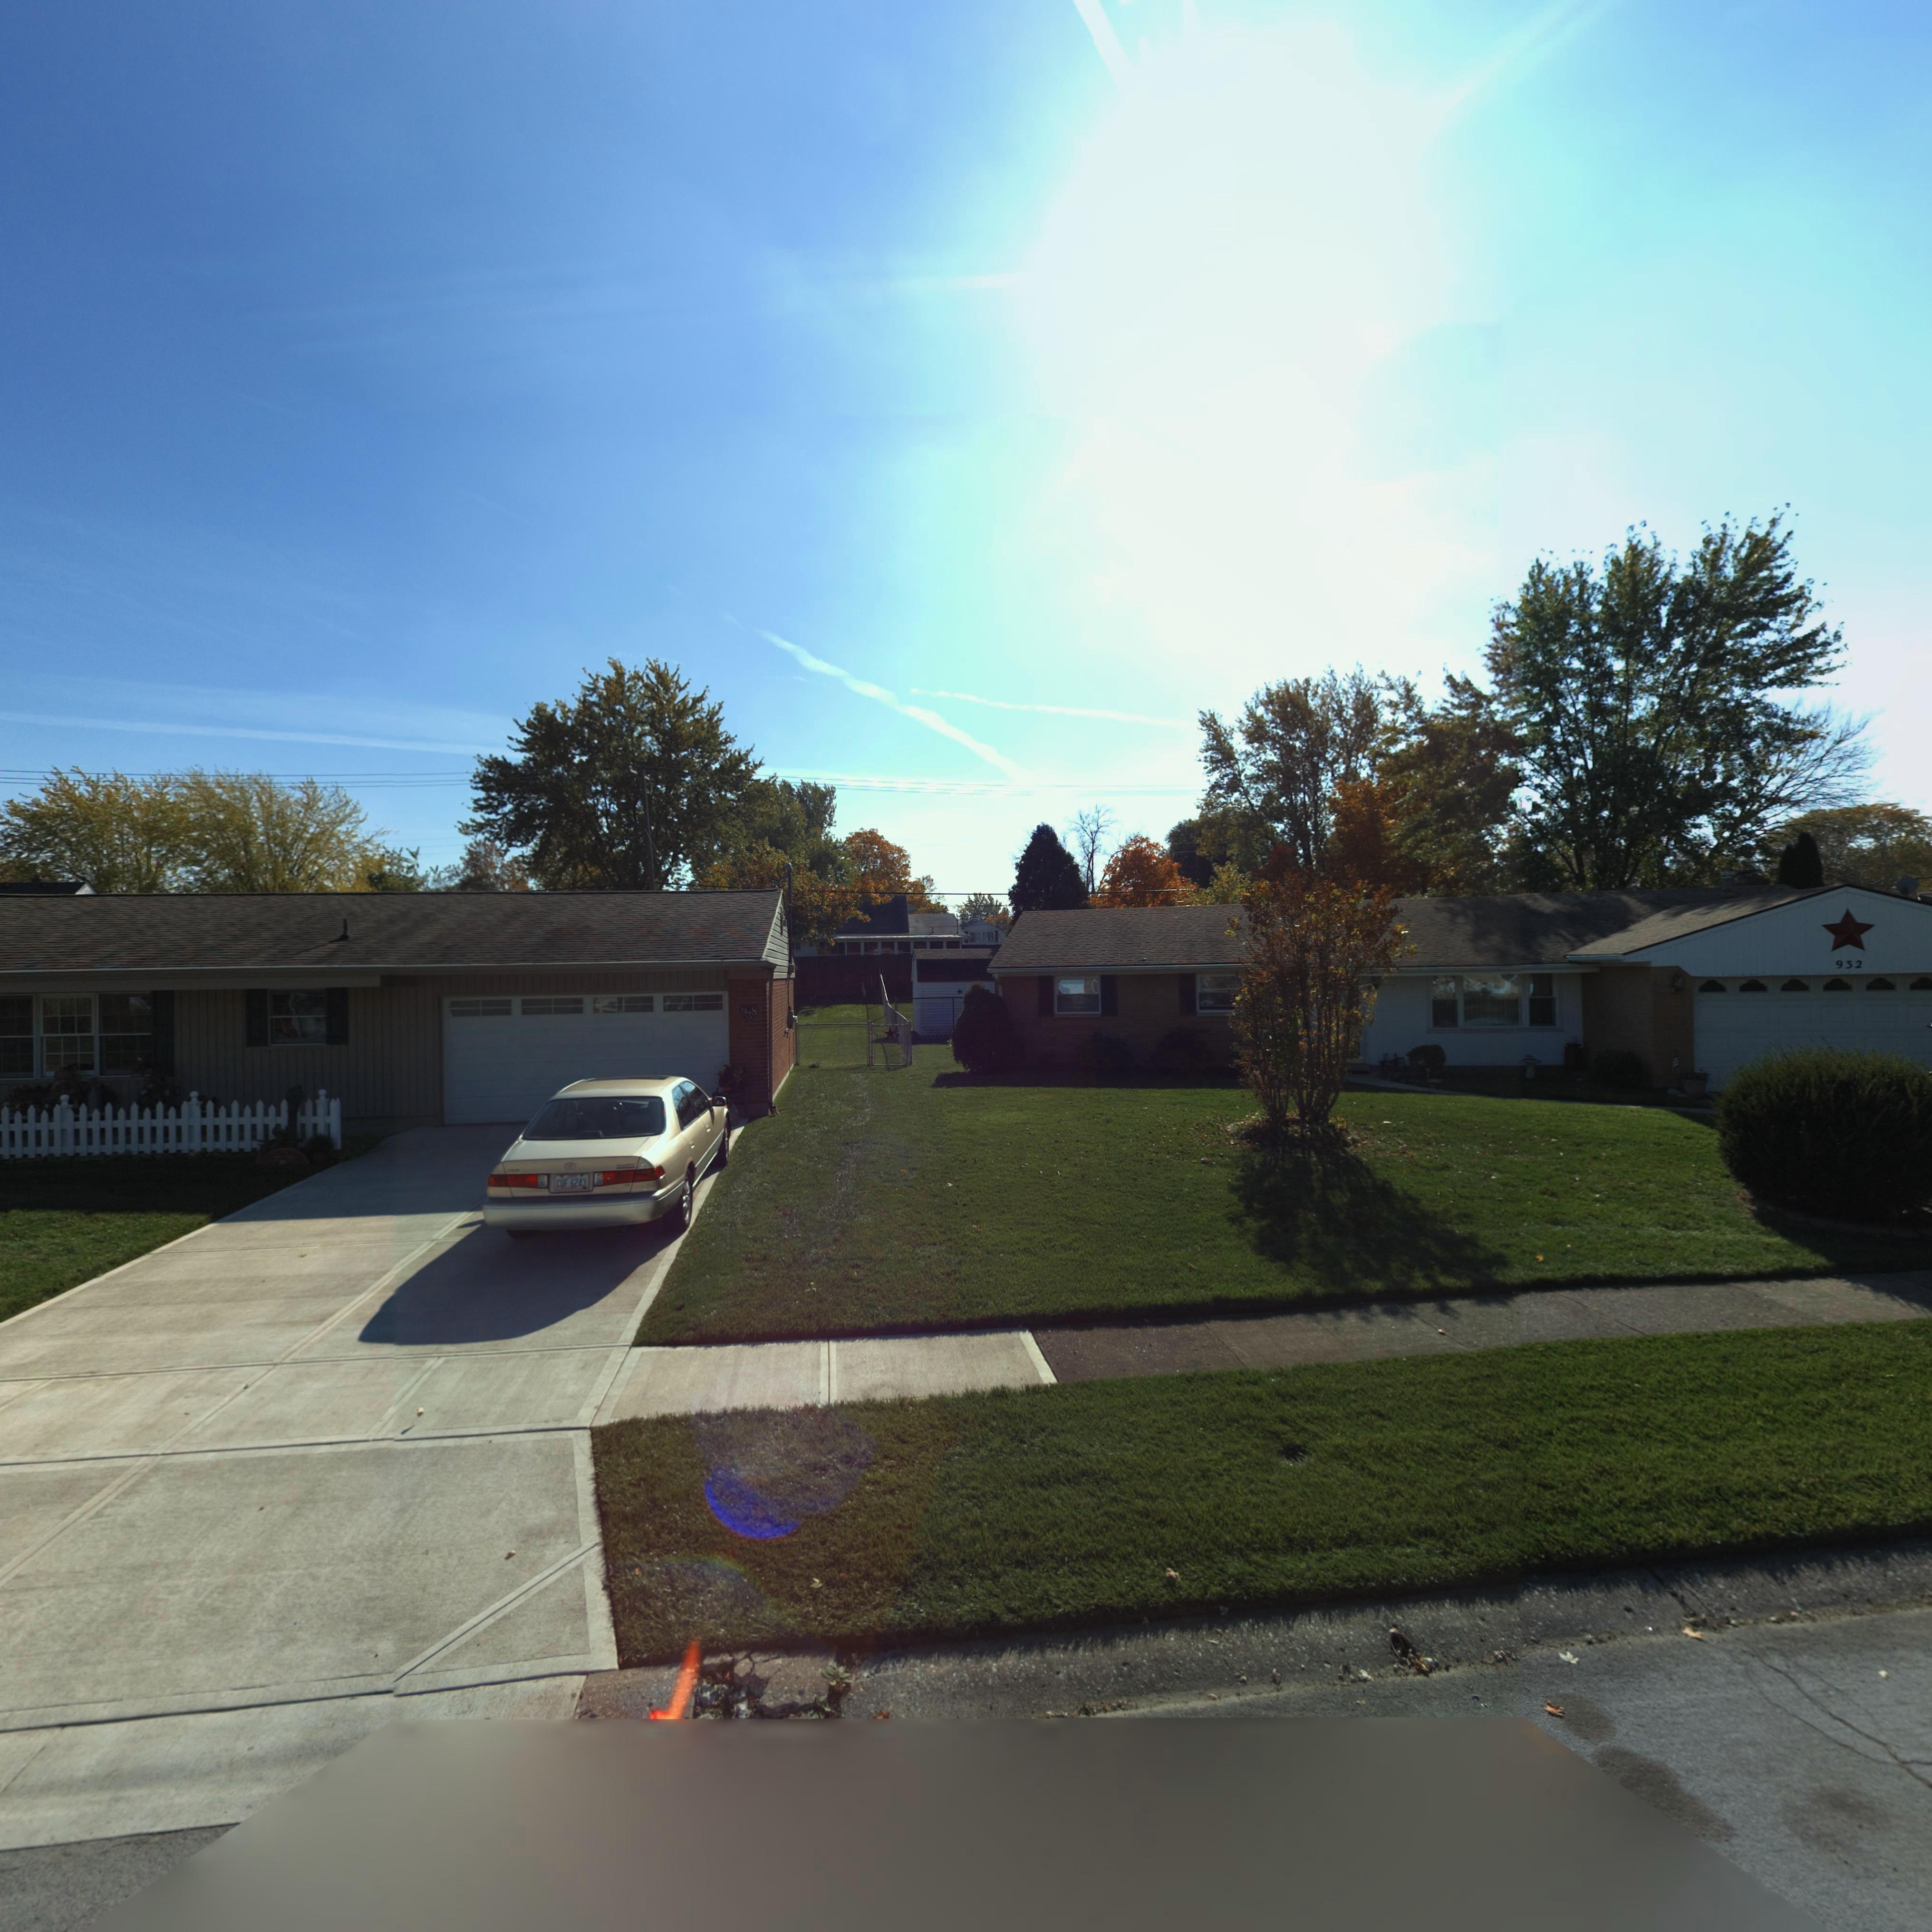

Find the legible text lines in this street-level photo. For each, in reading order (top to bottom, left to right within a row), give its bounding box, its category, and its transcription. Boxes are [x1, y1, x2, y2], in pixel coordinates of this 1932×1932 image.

[1835, 959, 1863, 970] StreetNumber: 932
[740, 1006, 758, 1021] StreetNumber: 938
[556, 1177, 587, 1189] None: CUF 6243